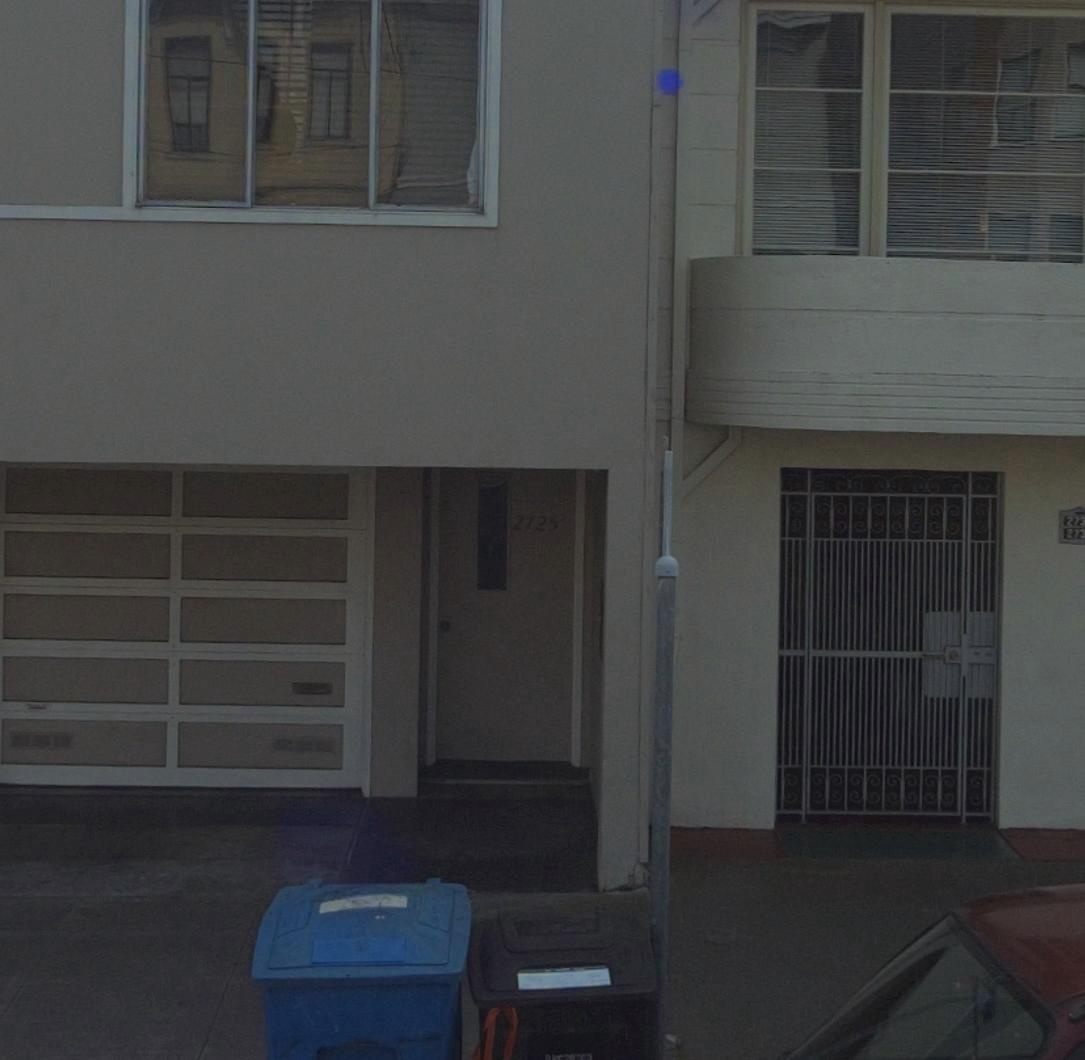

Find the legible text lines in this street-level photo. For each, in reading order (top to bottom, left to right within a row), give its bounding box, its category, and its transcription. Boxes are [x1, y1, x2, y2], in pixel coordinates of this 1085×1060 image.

[510, 514, 559, 532] StreetNumber: 2725